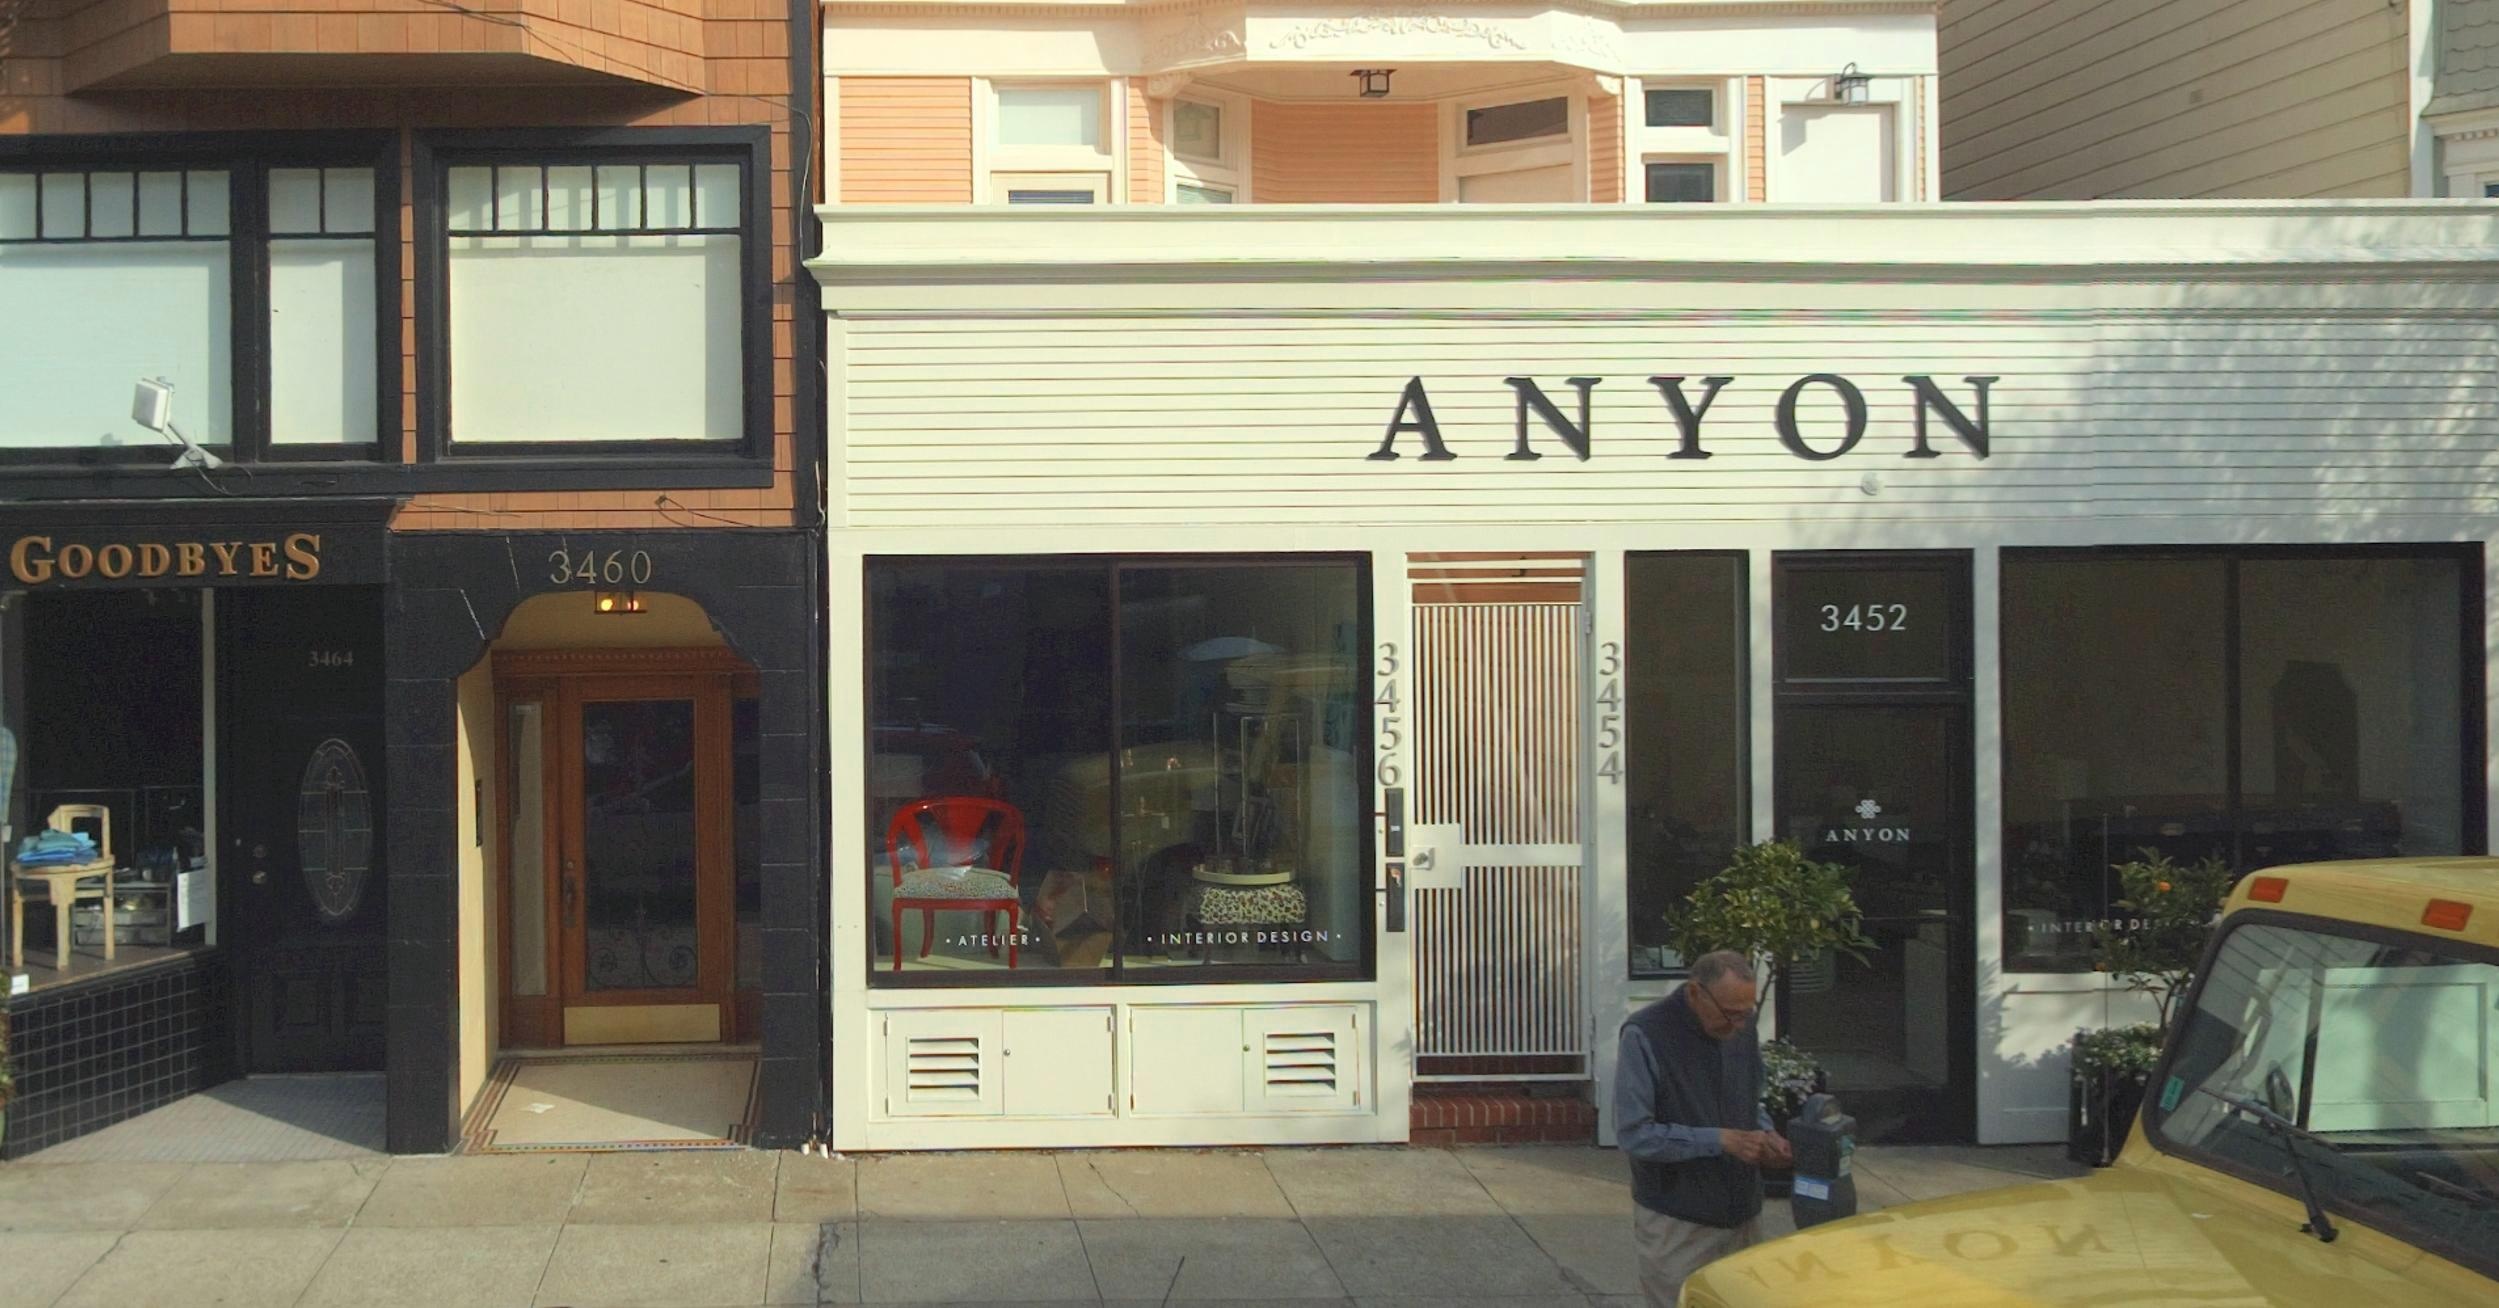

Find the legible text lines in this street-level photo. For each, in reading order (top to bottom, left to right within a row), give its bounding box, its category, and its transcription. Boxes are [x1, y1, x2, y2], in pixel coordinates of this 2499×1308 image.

[1359, 366, 2006, 468] BusinessName: ANYON
[7, 532, 324, 587] BusinessName: GOODBYES
[544, 547, 654, 587] StreetNumber: 3460
[1817, 601, 1910, 634] StreetNumber: 3452
[305, 647, 357, 670] StreetNumber: 3464
[1373, 639, 1403, 789] StreetNumber: 3456
[1593, 638, 1625, 787] StreetNumber: 3454
[1820, 824, 1914, 846] BusinessName: ANYON
[953, 931, 1031, 949] None: ATELIER
[1159, 927, 1331, 947] None: INTERIOR DESIGN
[2038, 916, 2152, 937] None: INTER**R DE
[1725, 1216, 2123, 1299] None: ***O*